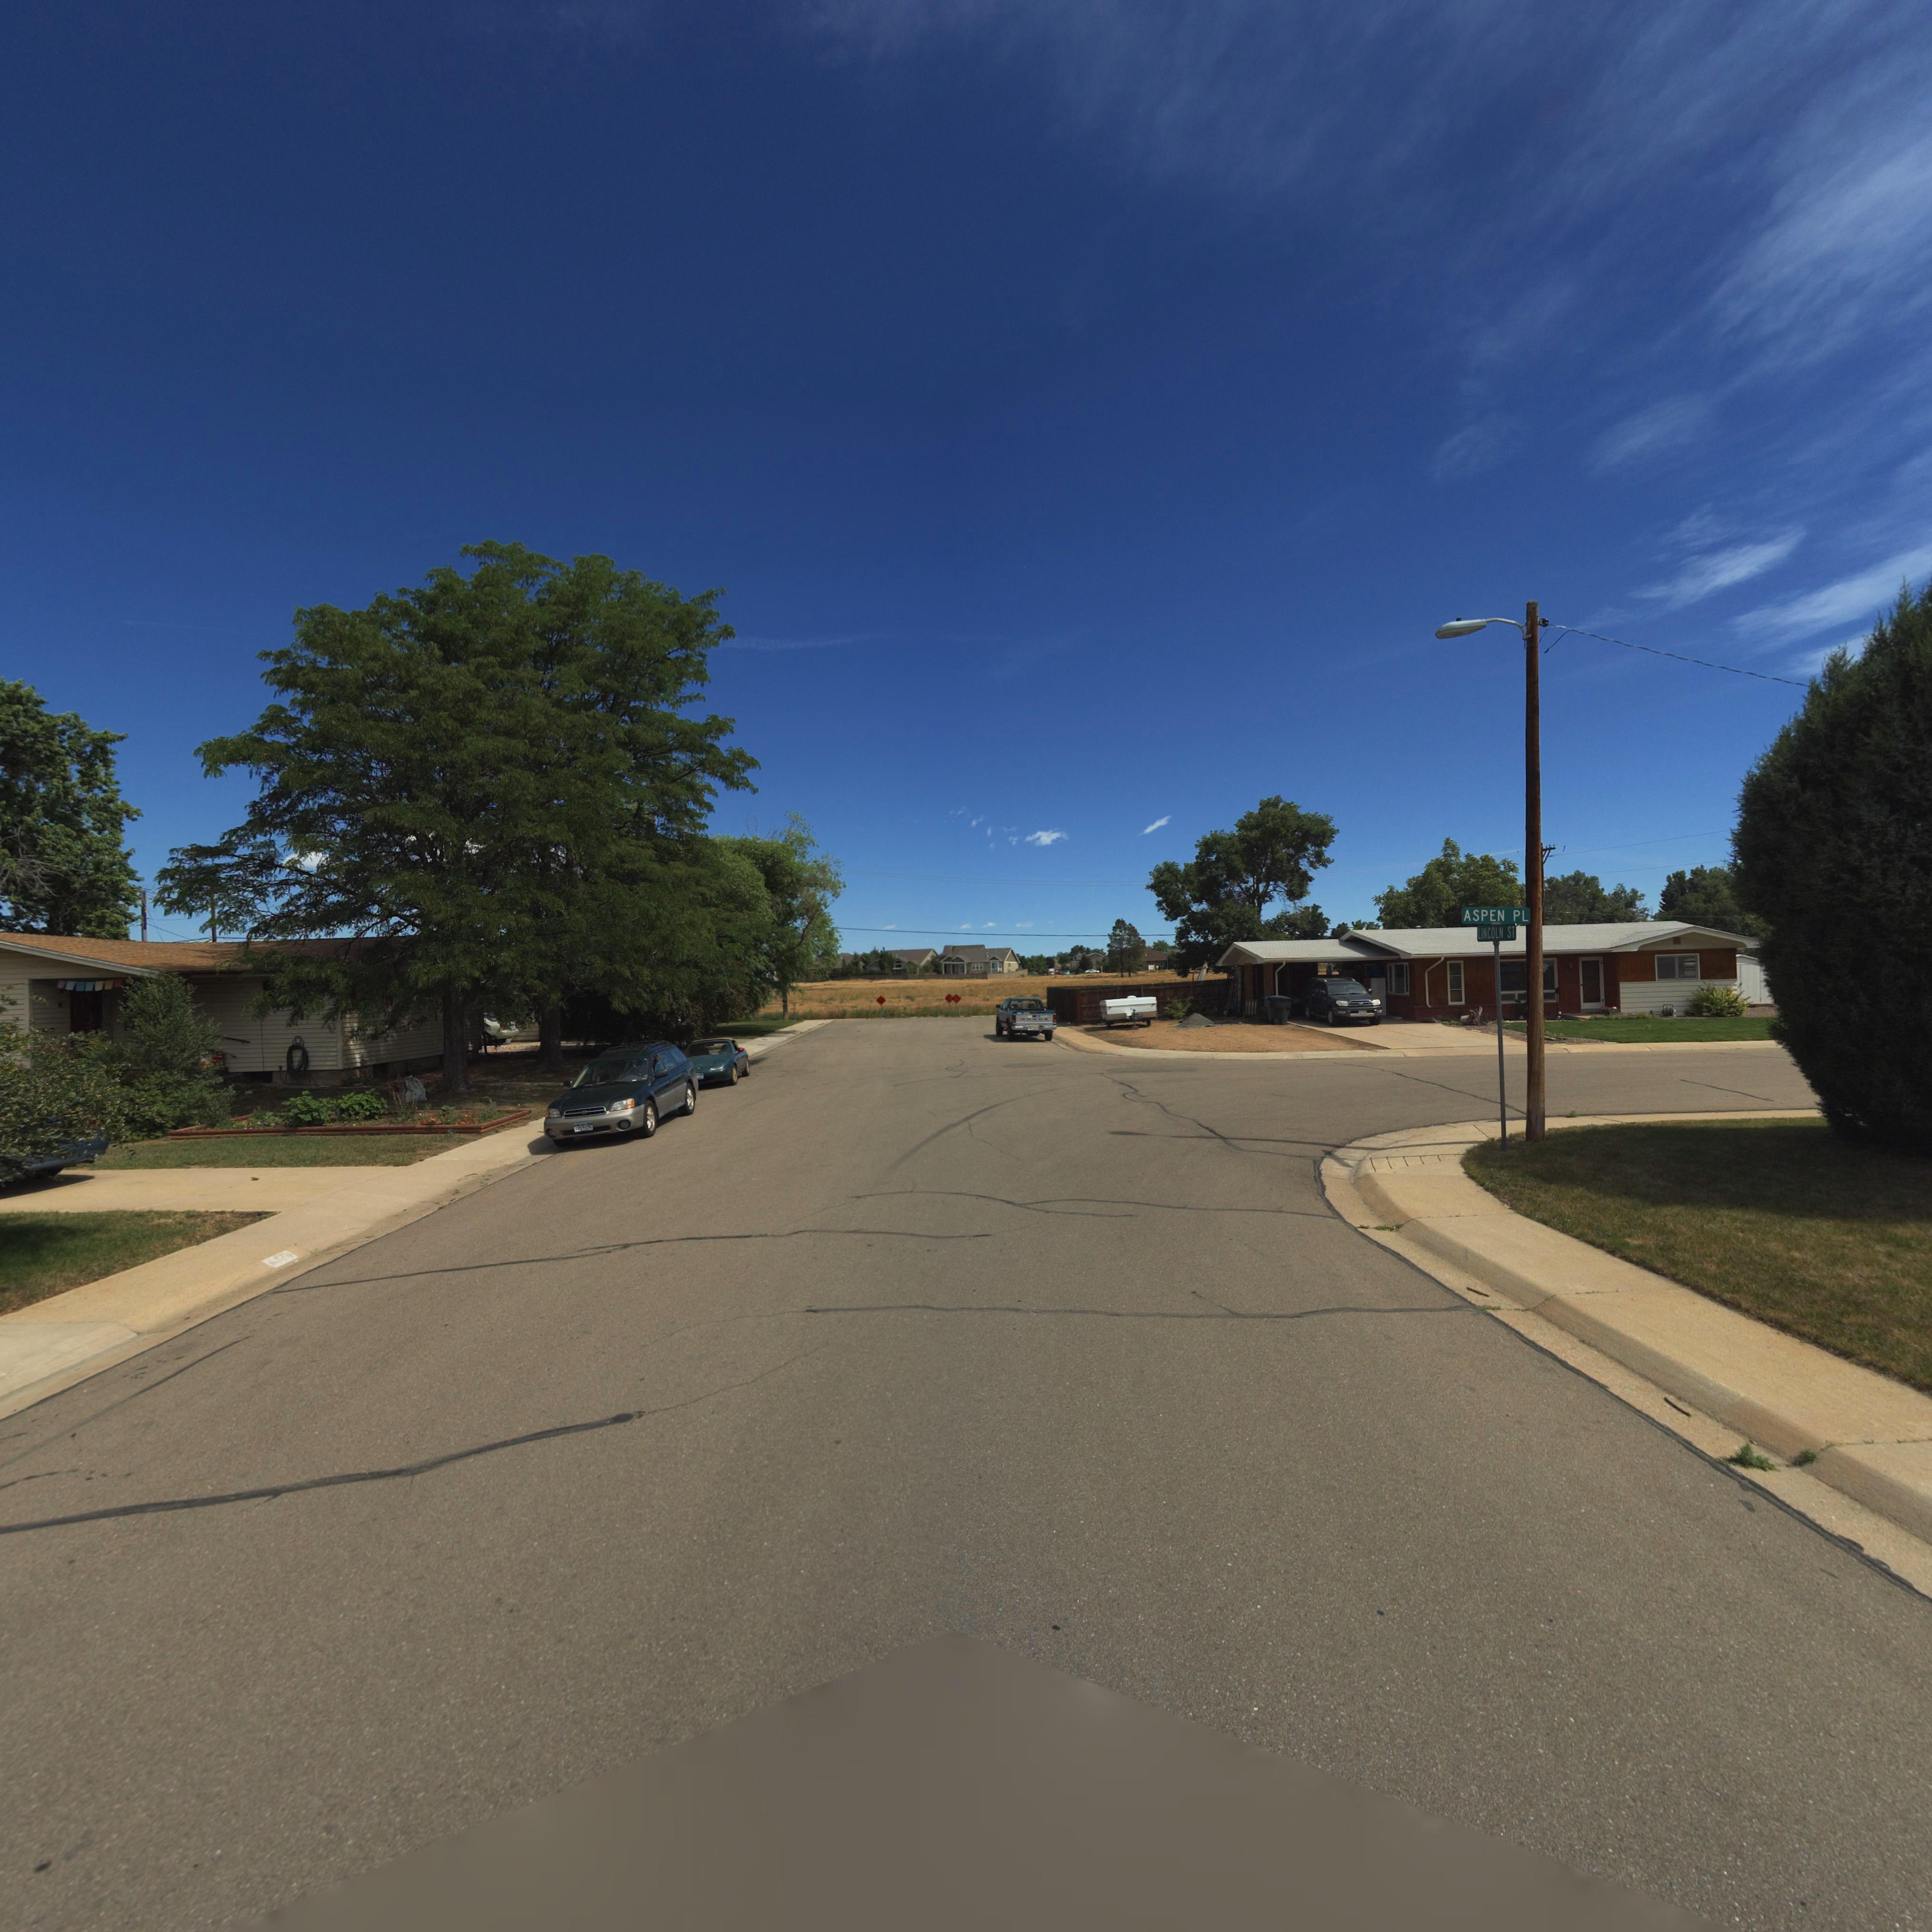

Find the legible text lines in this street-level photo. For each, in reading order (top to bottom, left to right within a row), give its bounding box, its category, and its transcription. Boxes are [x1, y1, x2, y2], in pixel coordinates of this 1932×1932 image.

[1464, 909, 1529, 921] StreetName: ASPEN PL
[1478, 925, 1515, 939] StreetName: LINCOLN ST